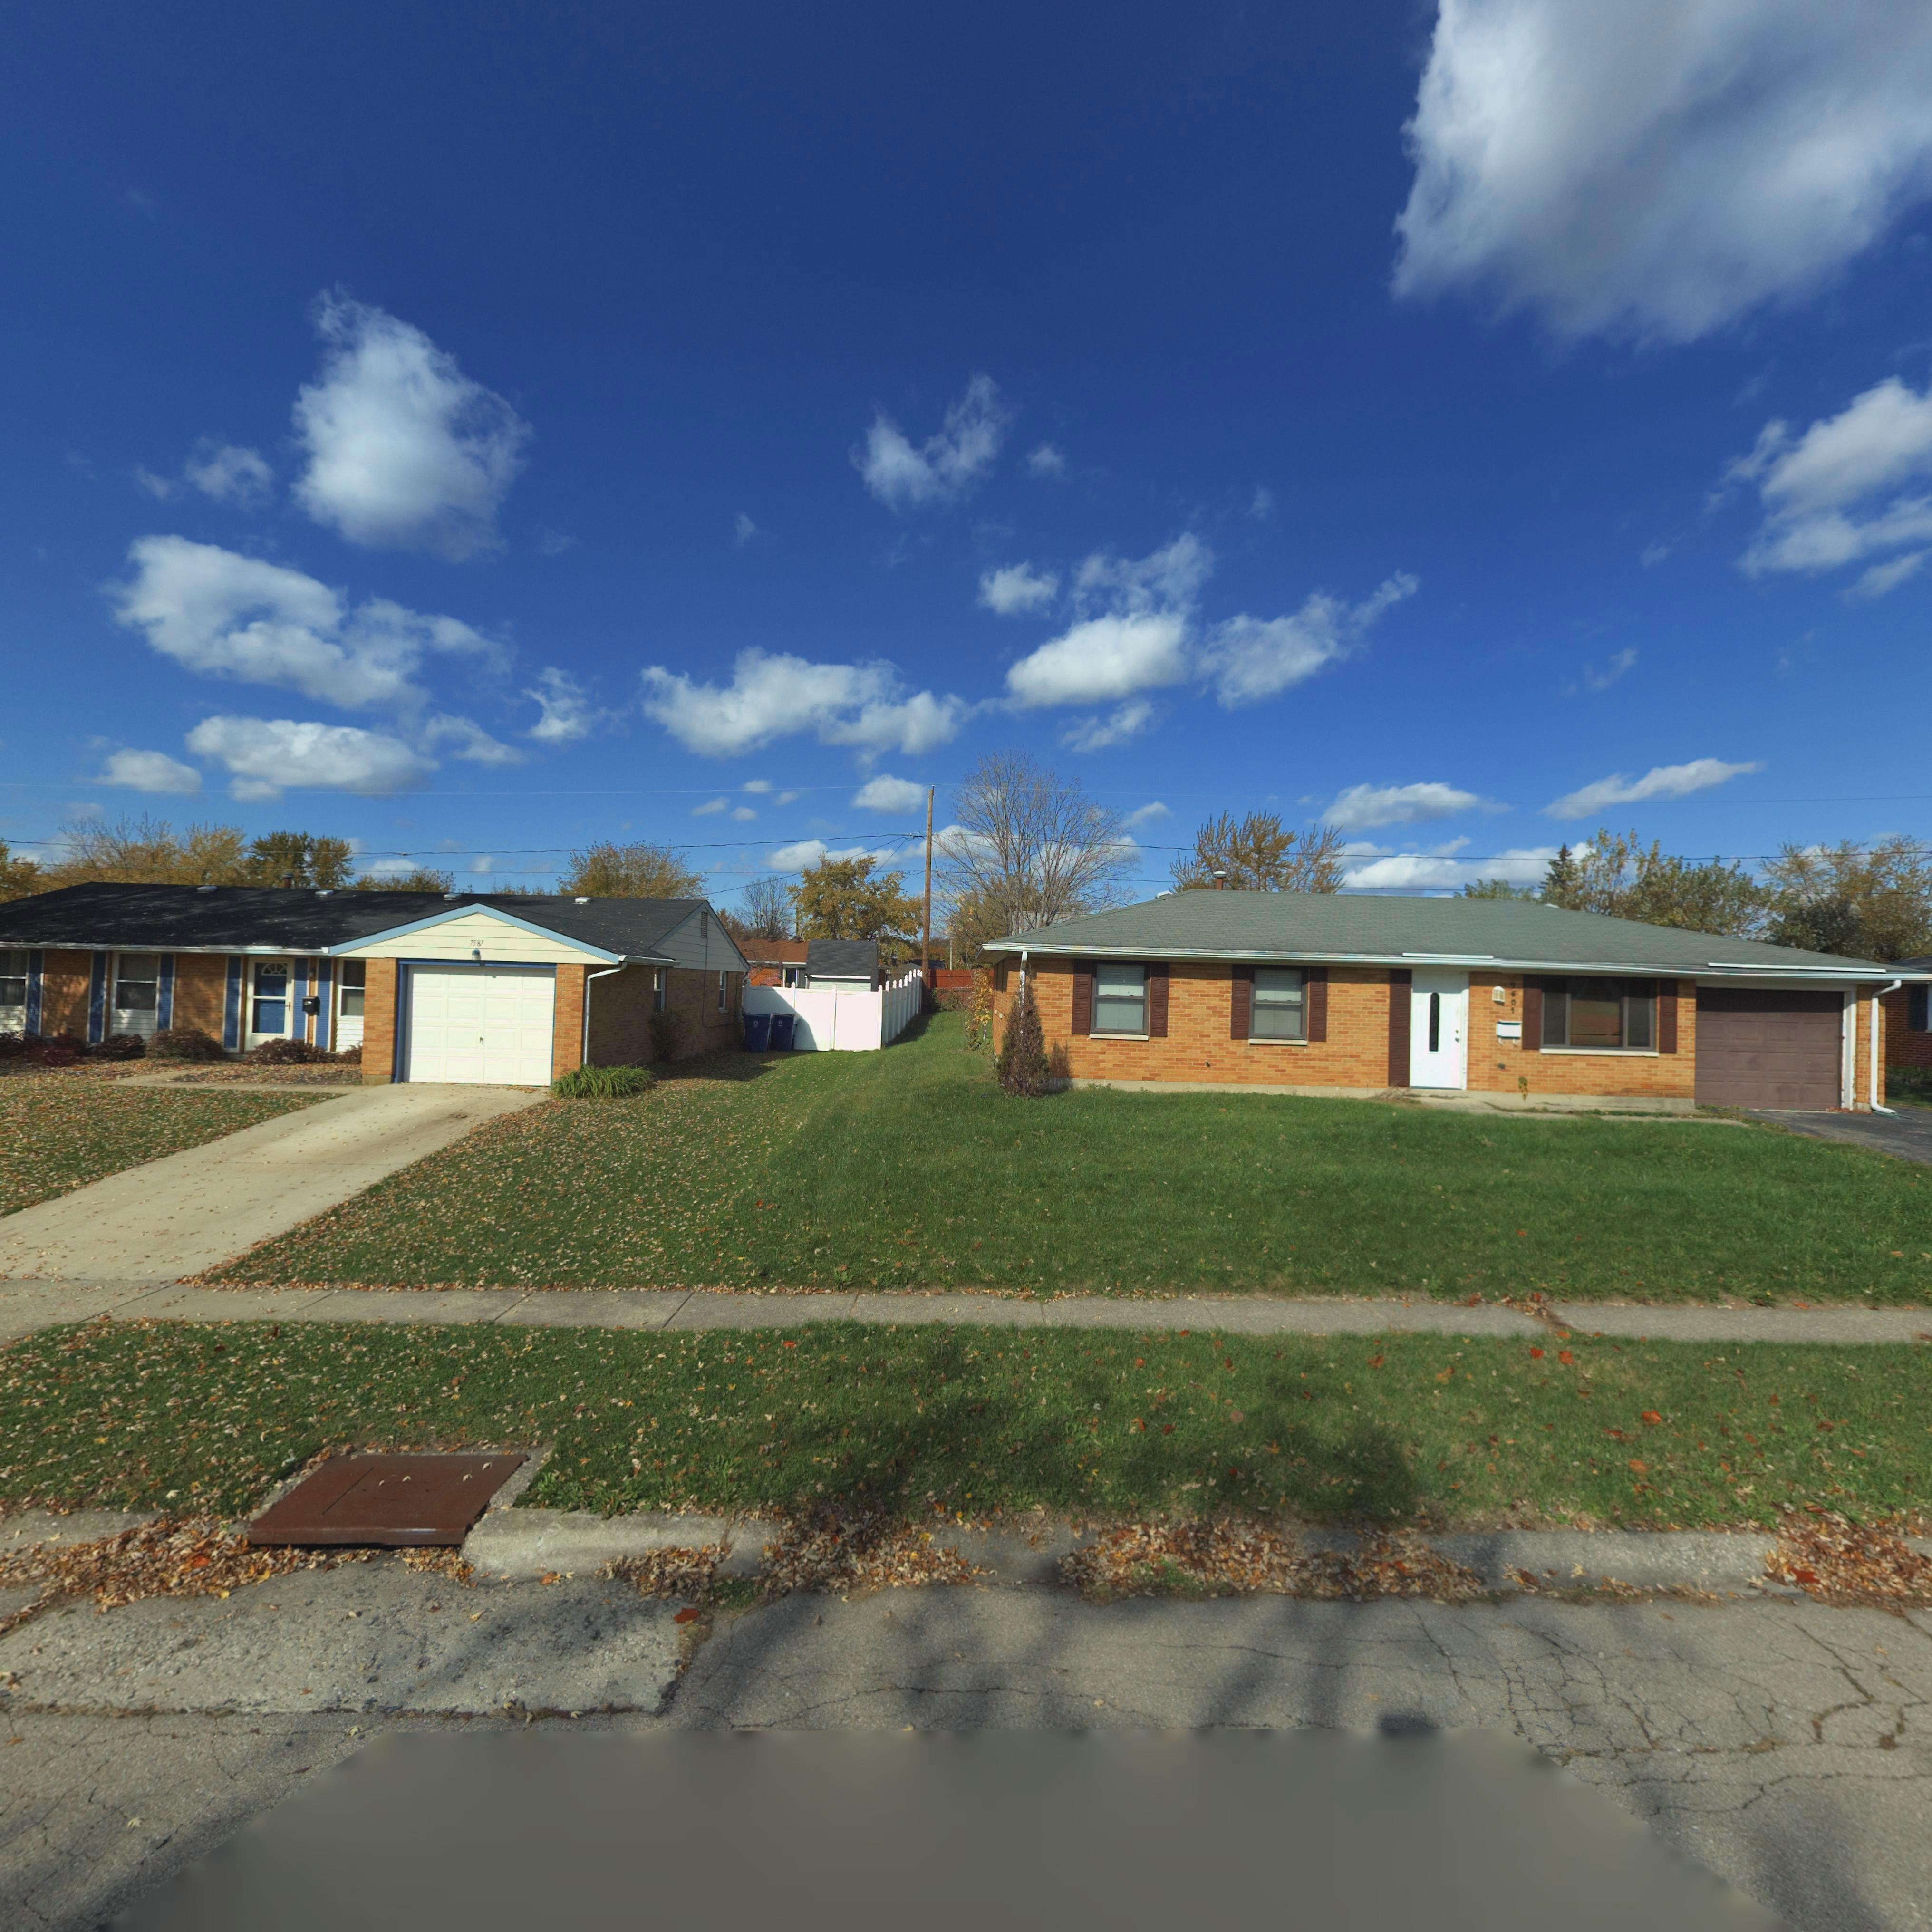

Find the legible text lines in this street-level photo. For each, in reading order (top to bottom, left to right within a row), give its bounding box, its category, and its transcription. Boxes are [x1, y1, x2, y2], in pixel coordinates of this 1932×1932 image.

[469, 939, 485, 947] StreetNumber: 7587
[1509, 981, 1517, 1014] StreetNumber: 7601